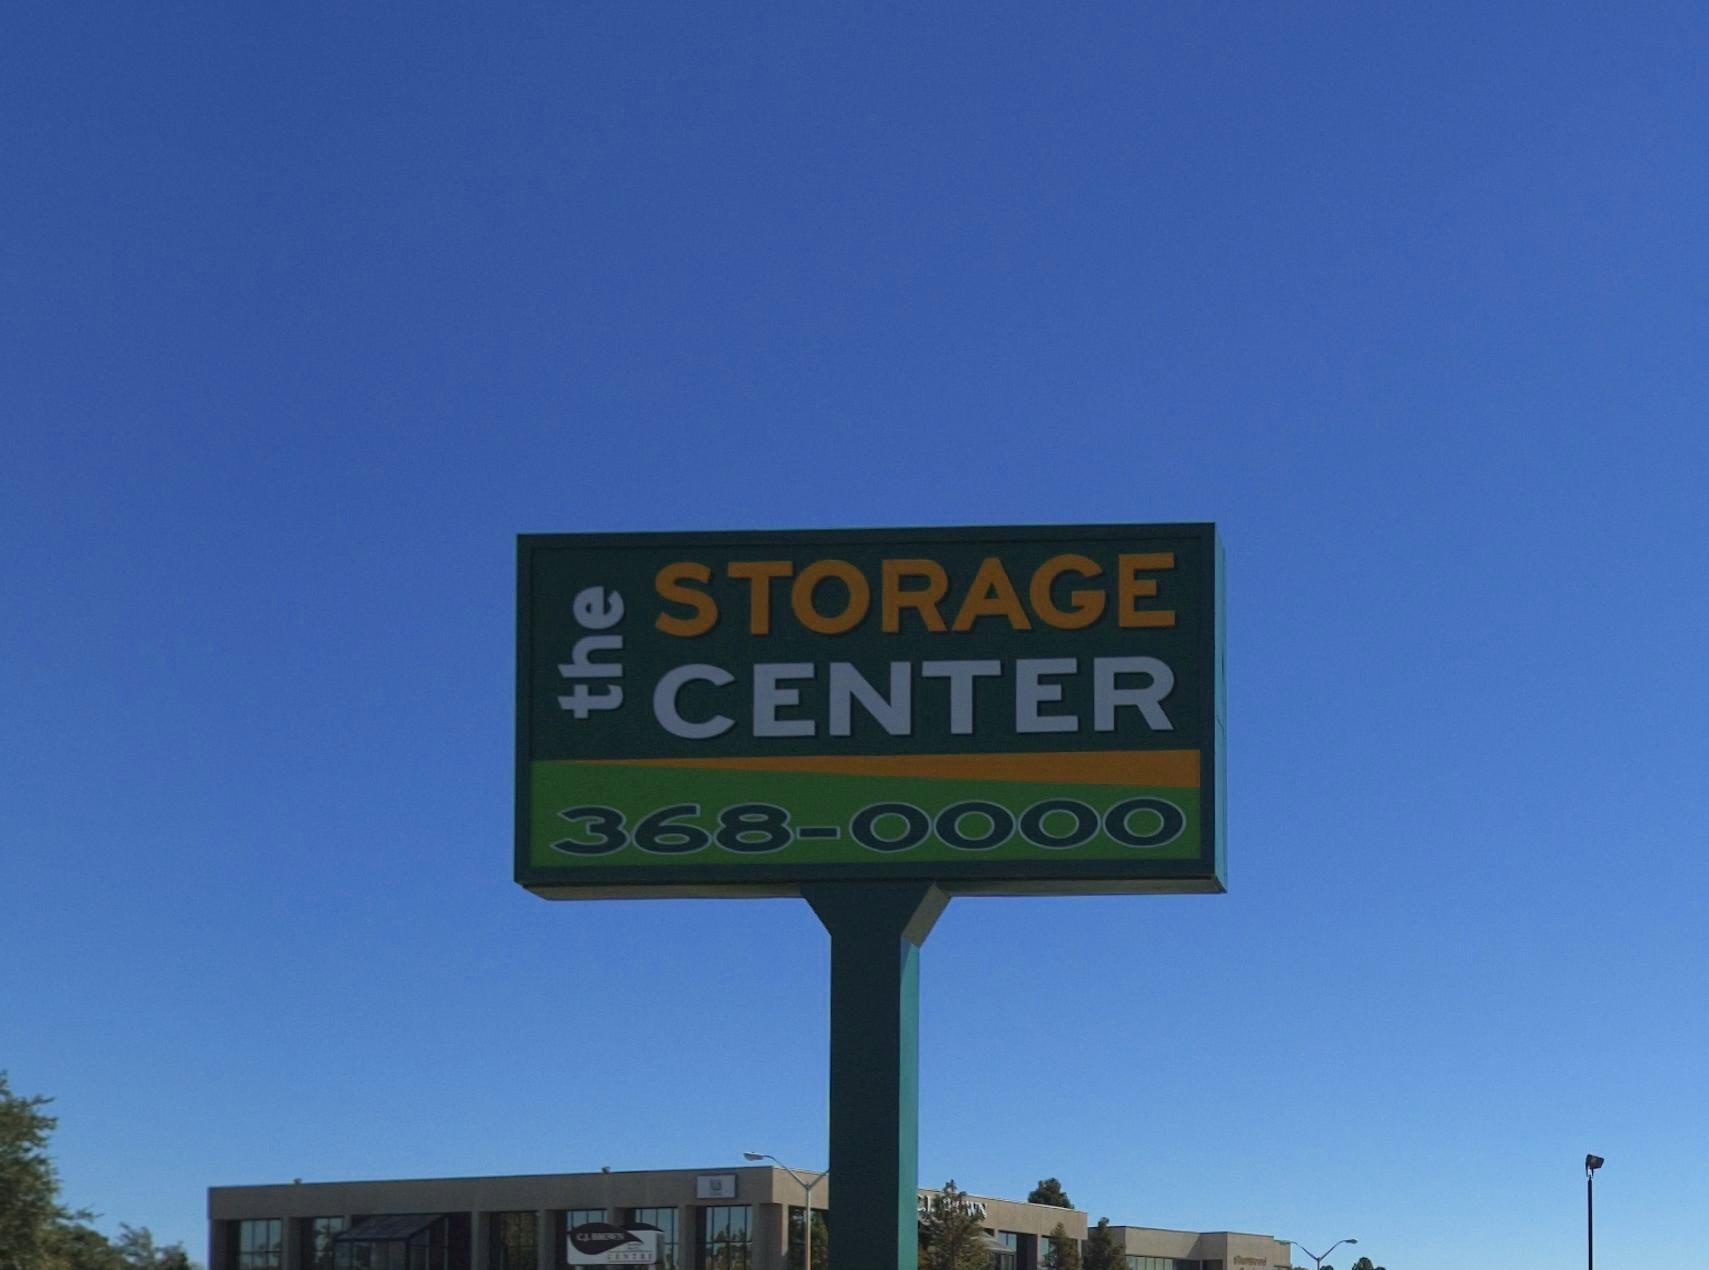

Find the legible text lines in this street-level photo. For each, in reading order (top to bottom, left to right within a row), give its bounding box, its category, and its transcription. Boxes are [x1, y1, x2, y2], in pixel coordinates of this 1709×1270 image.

[649, 547, 1182, 643] BusinessName: STORAGE
[550, 580, 629, 724] BusinessName: the
[646, 649, 1182, 746] BusinessName: CENTER
[542, 792, 1190, 861] None: 368-0000